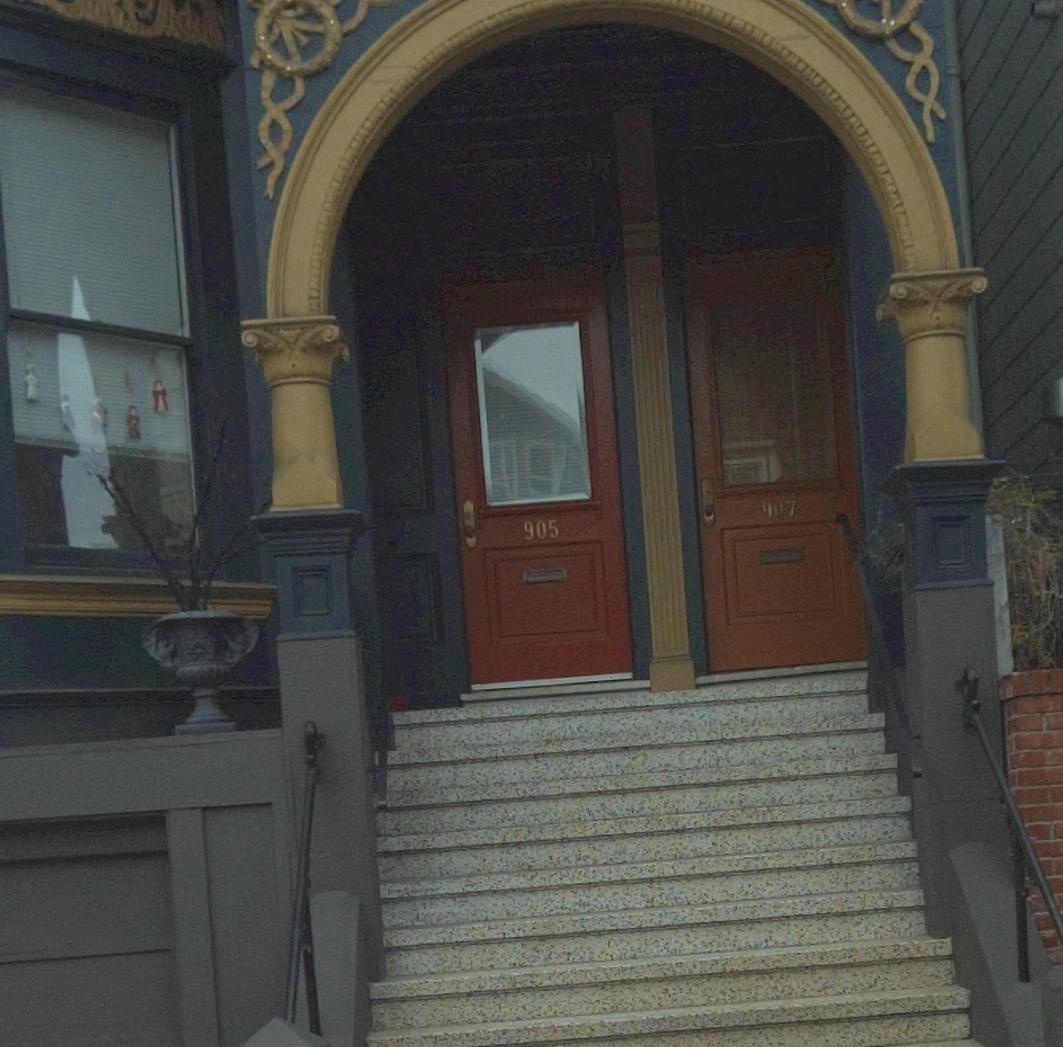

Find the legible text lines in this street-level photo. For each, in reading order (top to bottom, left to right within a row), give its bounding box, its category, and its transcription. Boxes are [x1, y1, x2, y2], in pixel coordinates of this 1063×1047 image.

[761, 499, 798, 519] StreetNumber: 907
[522, 518, 560, 542] StreetNumber: 905